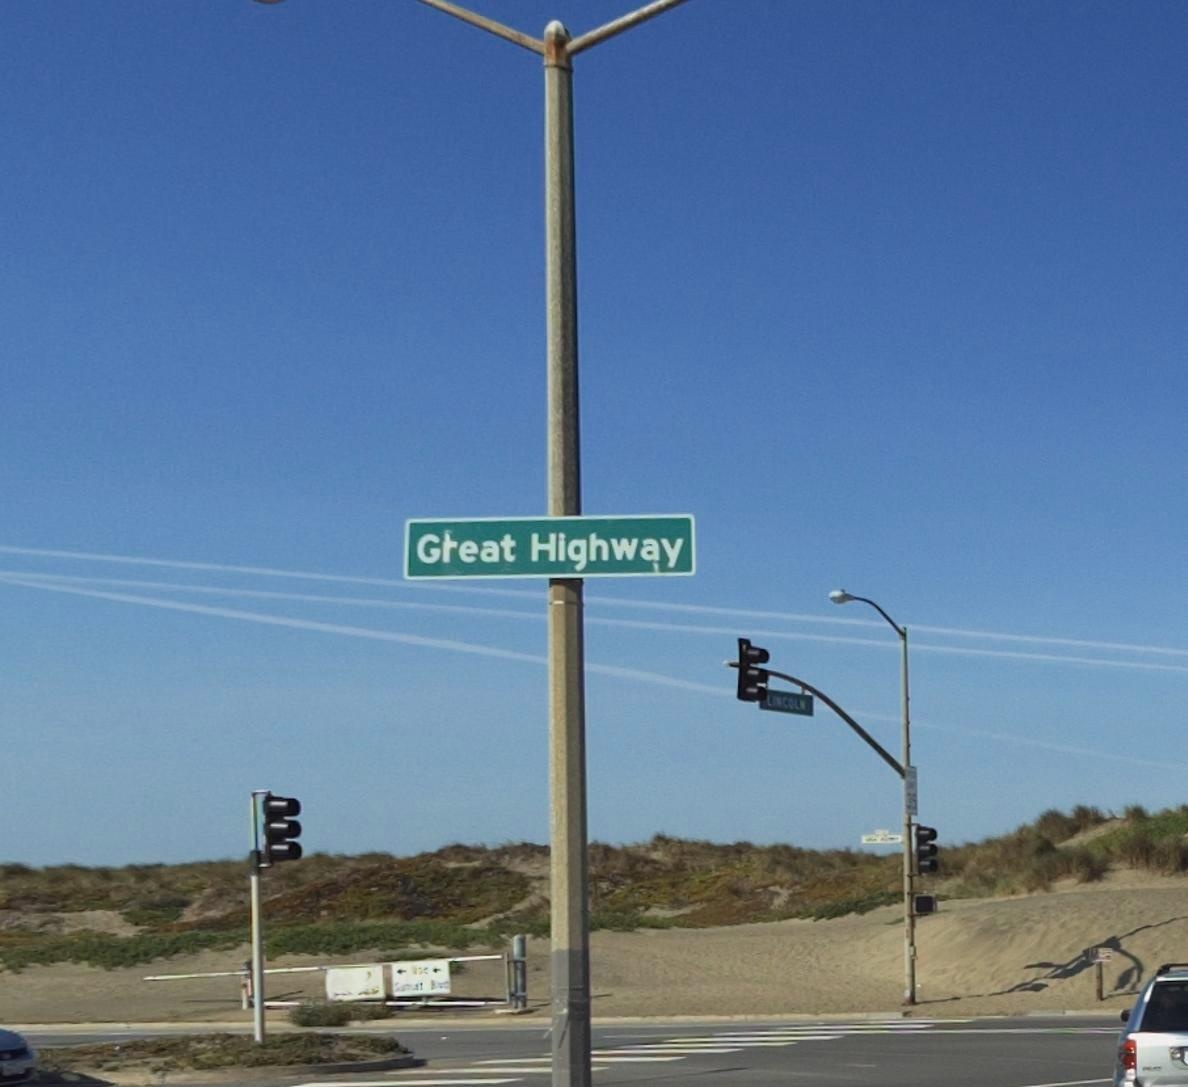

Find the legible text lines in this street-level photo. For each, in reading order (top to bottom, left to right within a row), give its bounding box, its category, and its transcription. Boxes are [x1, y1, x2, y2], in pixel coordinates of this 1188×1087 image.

[408, 530, 685, 571] None: Great Highway